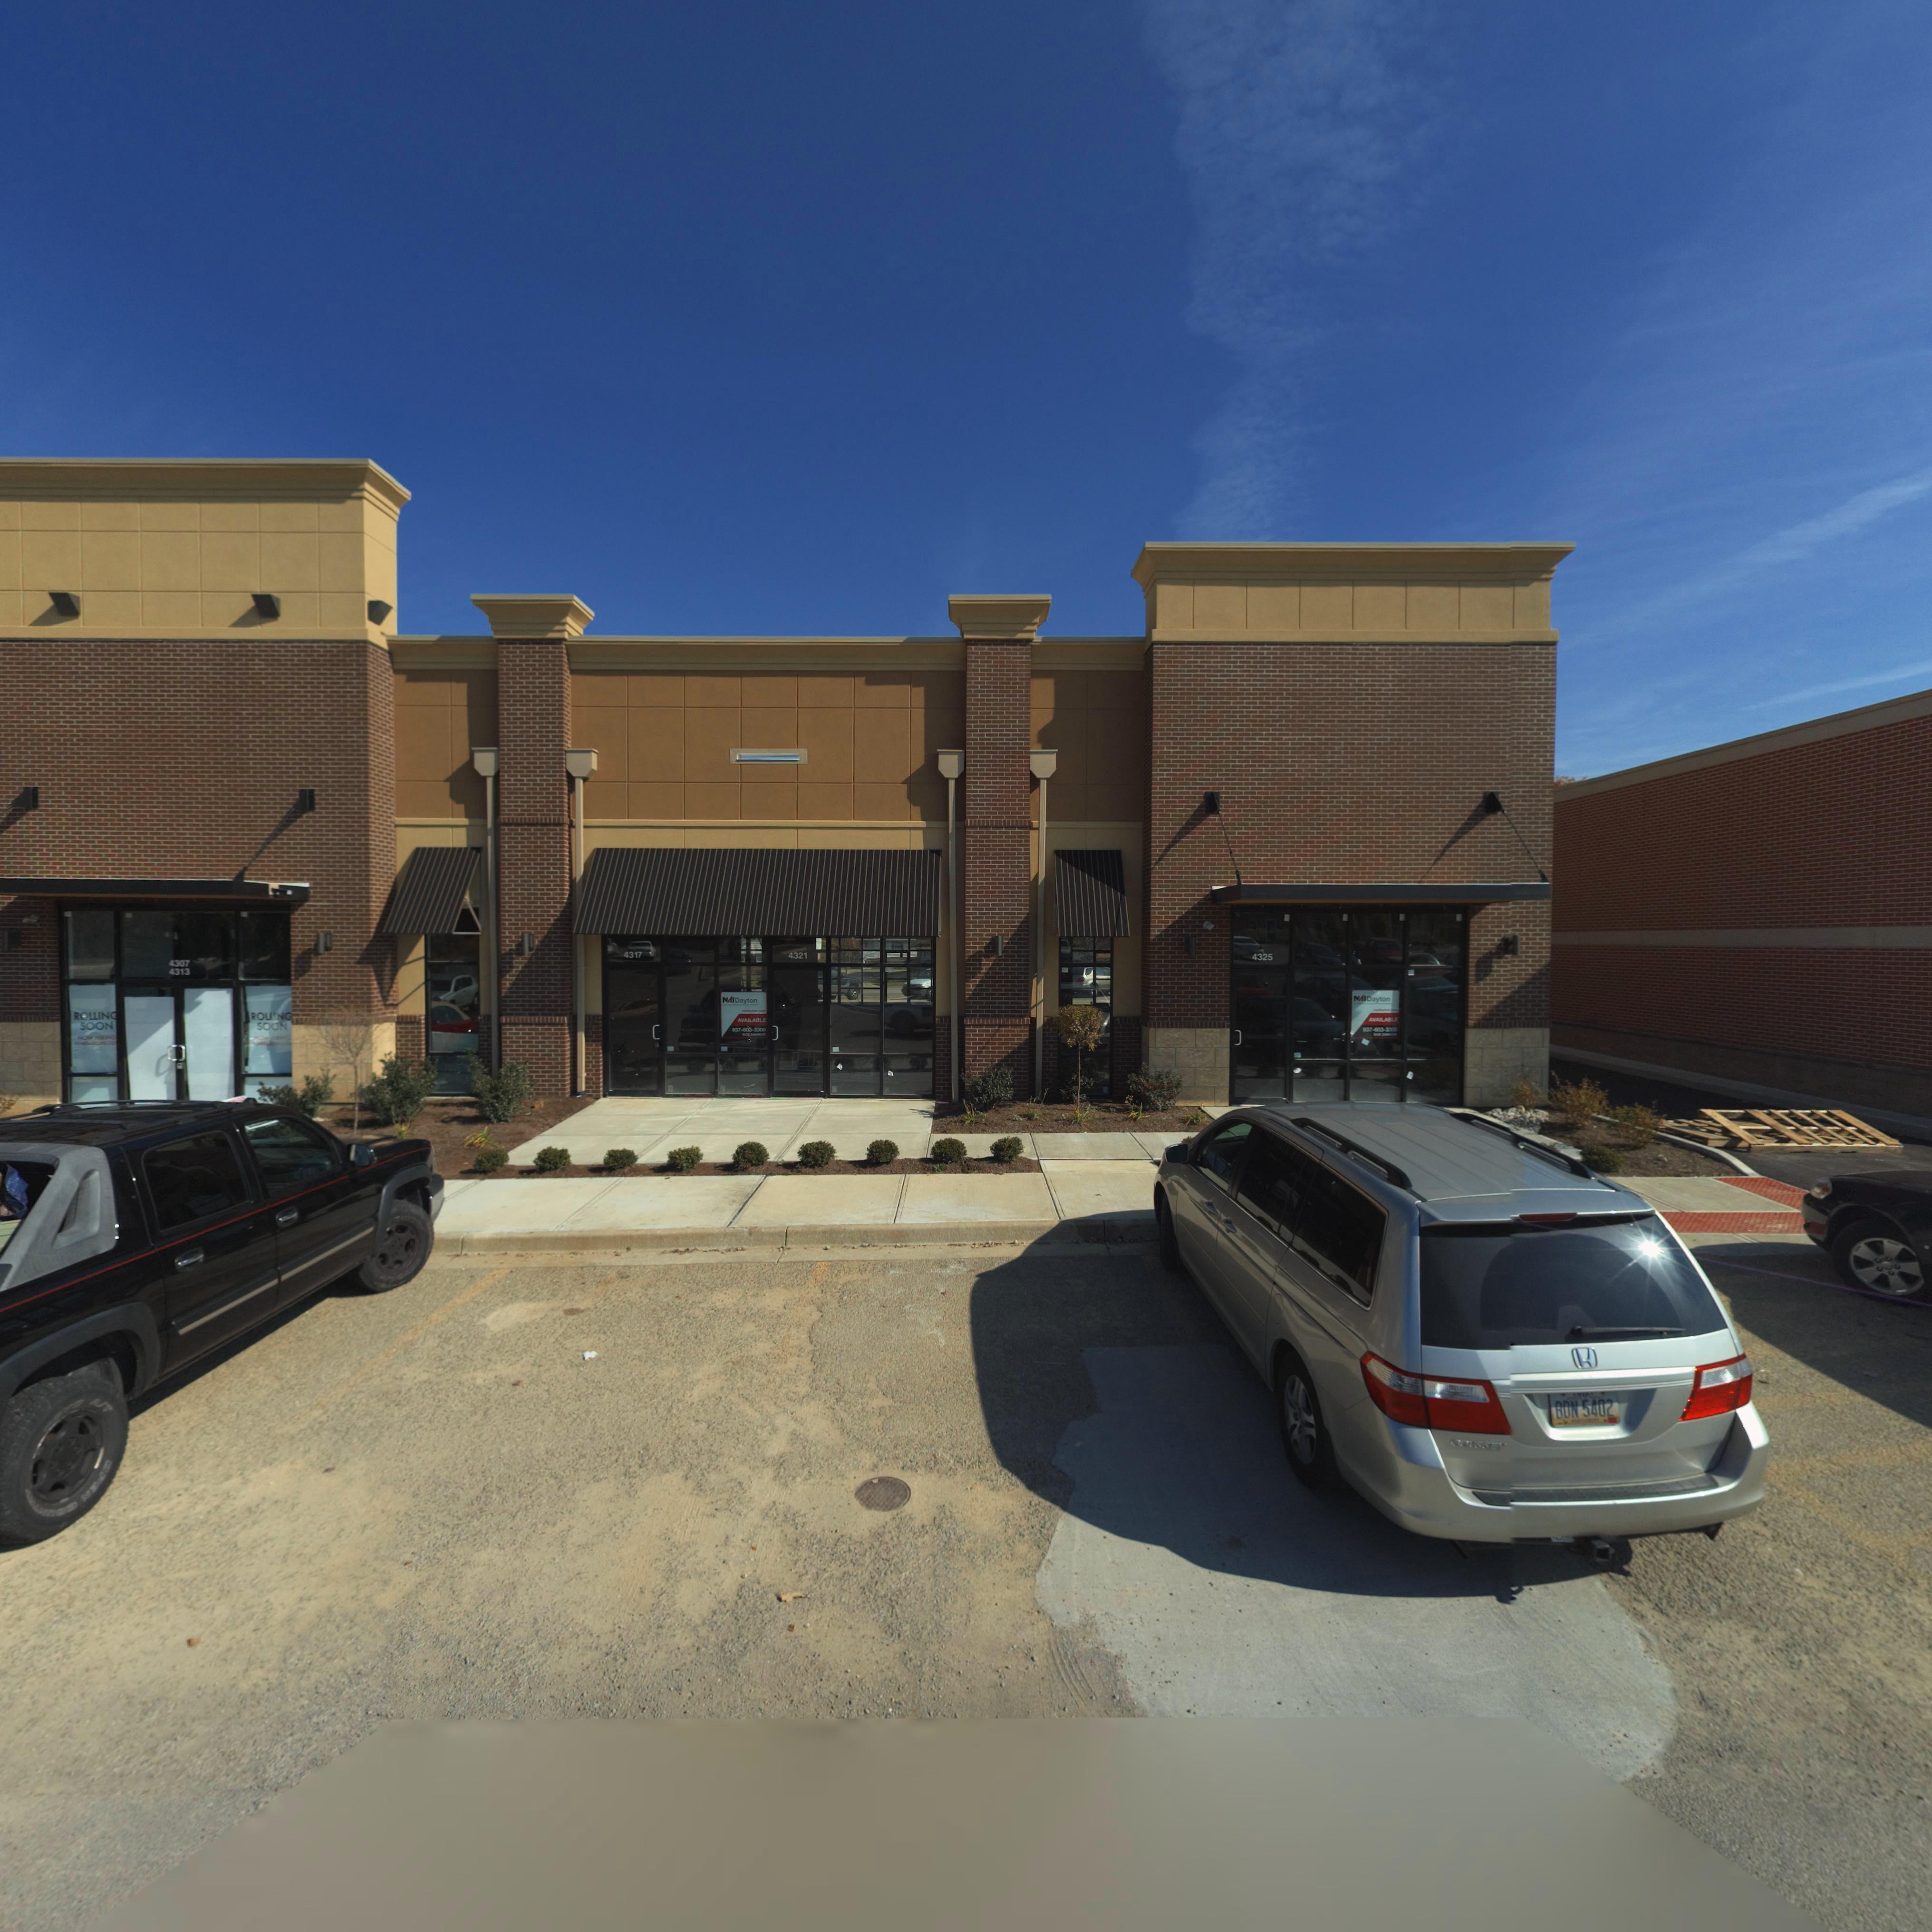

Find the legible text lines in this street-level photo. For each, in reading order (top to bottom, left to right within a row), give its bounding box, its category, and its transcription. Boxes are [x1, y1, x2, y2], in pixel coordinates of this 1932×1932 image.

[622, 950, 644, 959] StreetNumber: 4317
[786, 951, 809, 960] StreetNumber: 4321
[1250, 952, 1275, 962] StreetNumber: 4325
[167, 959, 192, 968] StreetNumber: 4307
[166, 967, 192, 977] StreetNumber: 4313